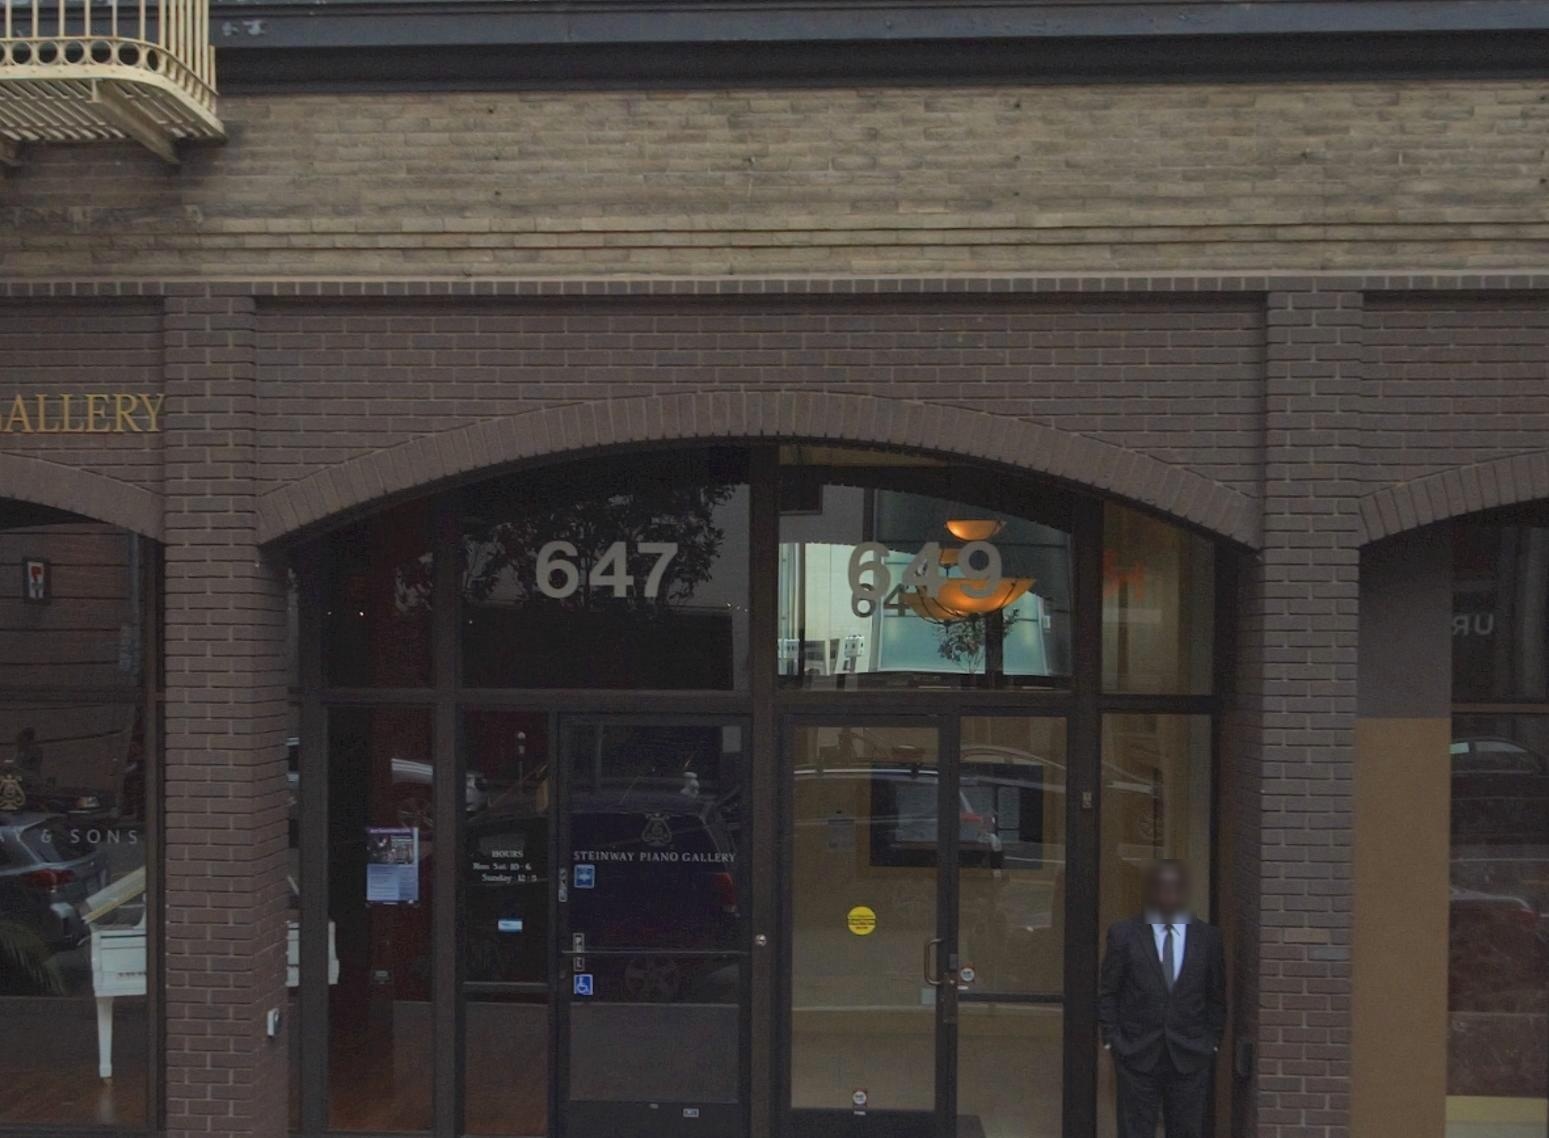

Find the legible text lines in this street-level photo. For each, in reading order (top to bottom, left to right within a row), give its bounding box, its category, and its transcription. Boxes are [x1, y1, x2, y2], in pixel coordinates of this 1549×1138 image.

[0, 390, 171, 436] None: ALLERY
[533, 536, 683, 603] StreetNumber: 647
[845, 536, 1004, 603] StreetNumber: 649
[1448, 609, 1498, 639] None: *U
[7, 824, 141, 847] None: Y & SONS
[571, 848, 739, 865] BusinessName: STEINWAY PIANO GALLERY